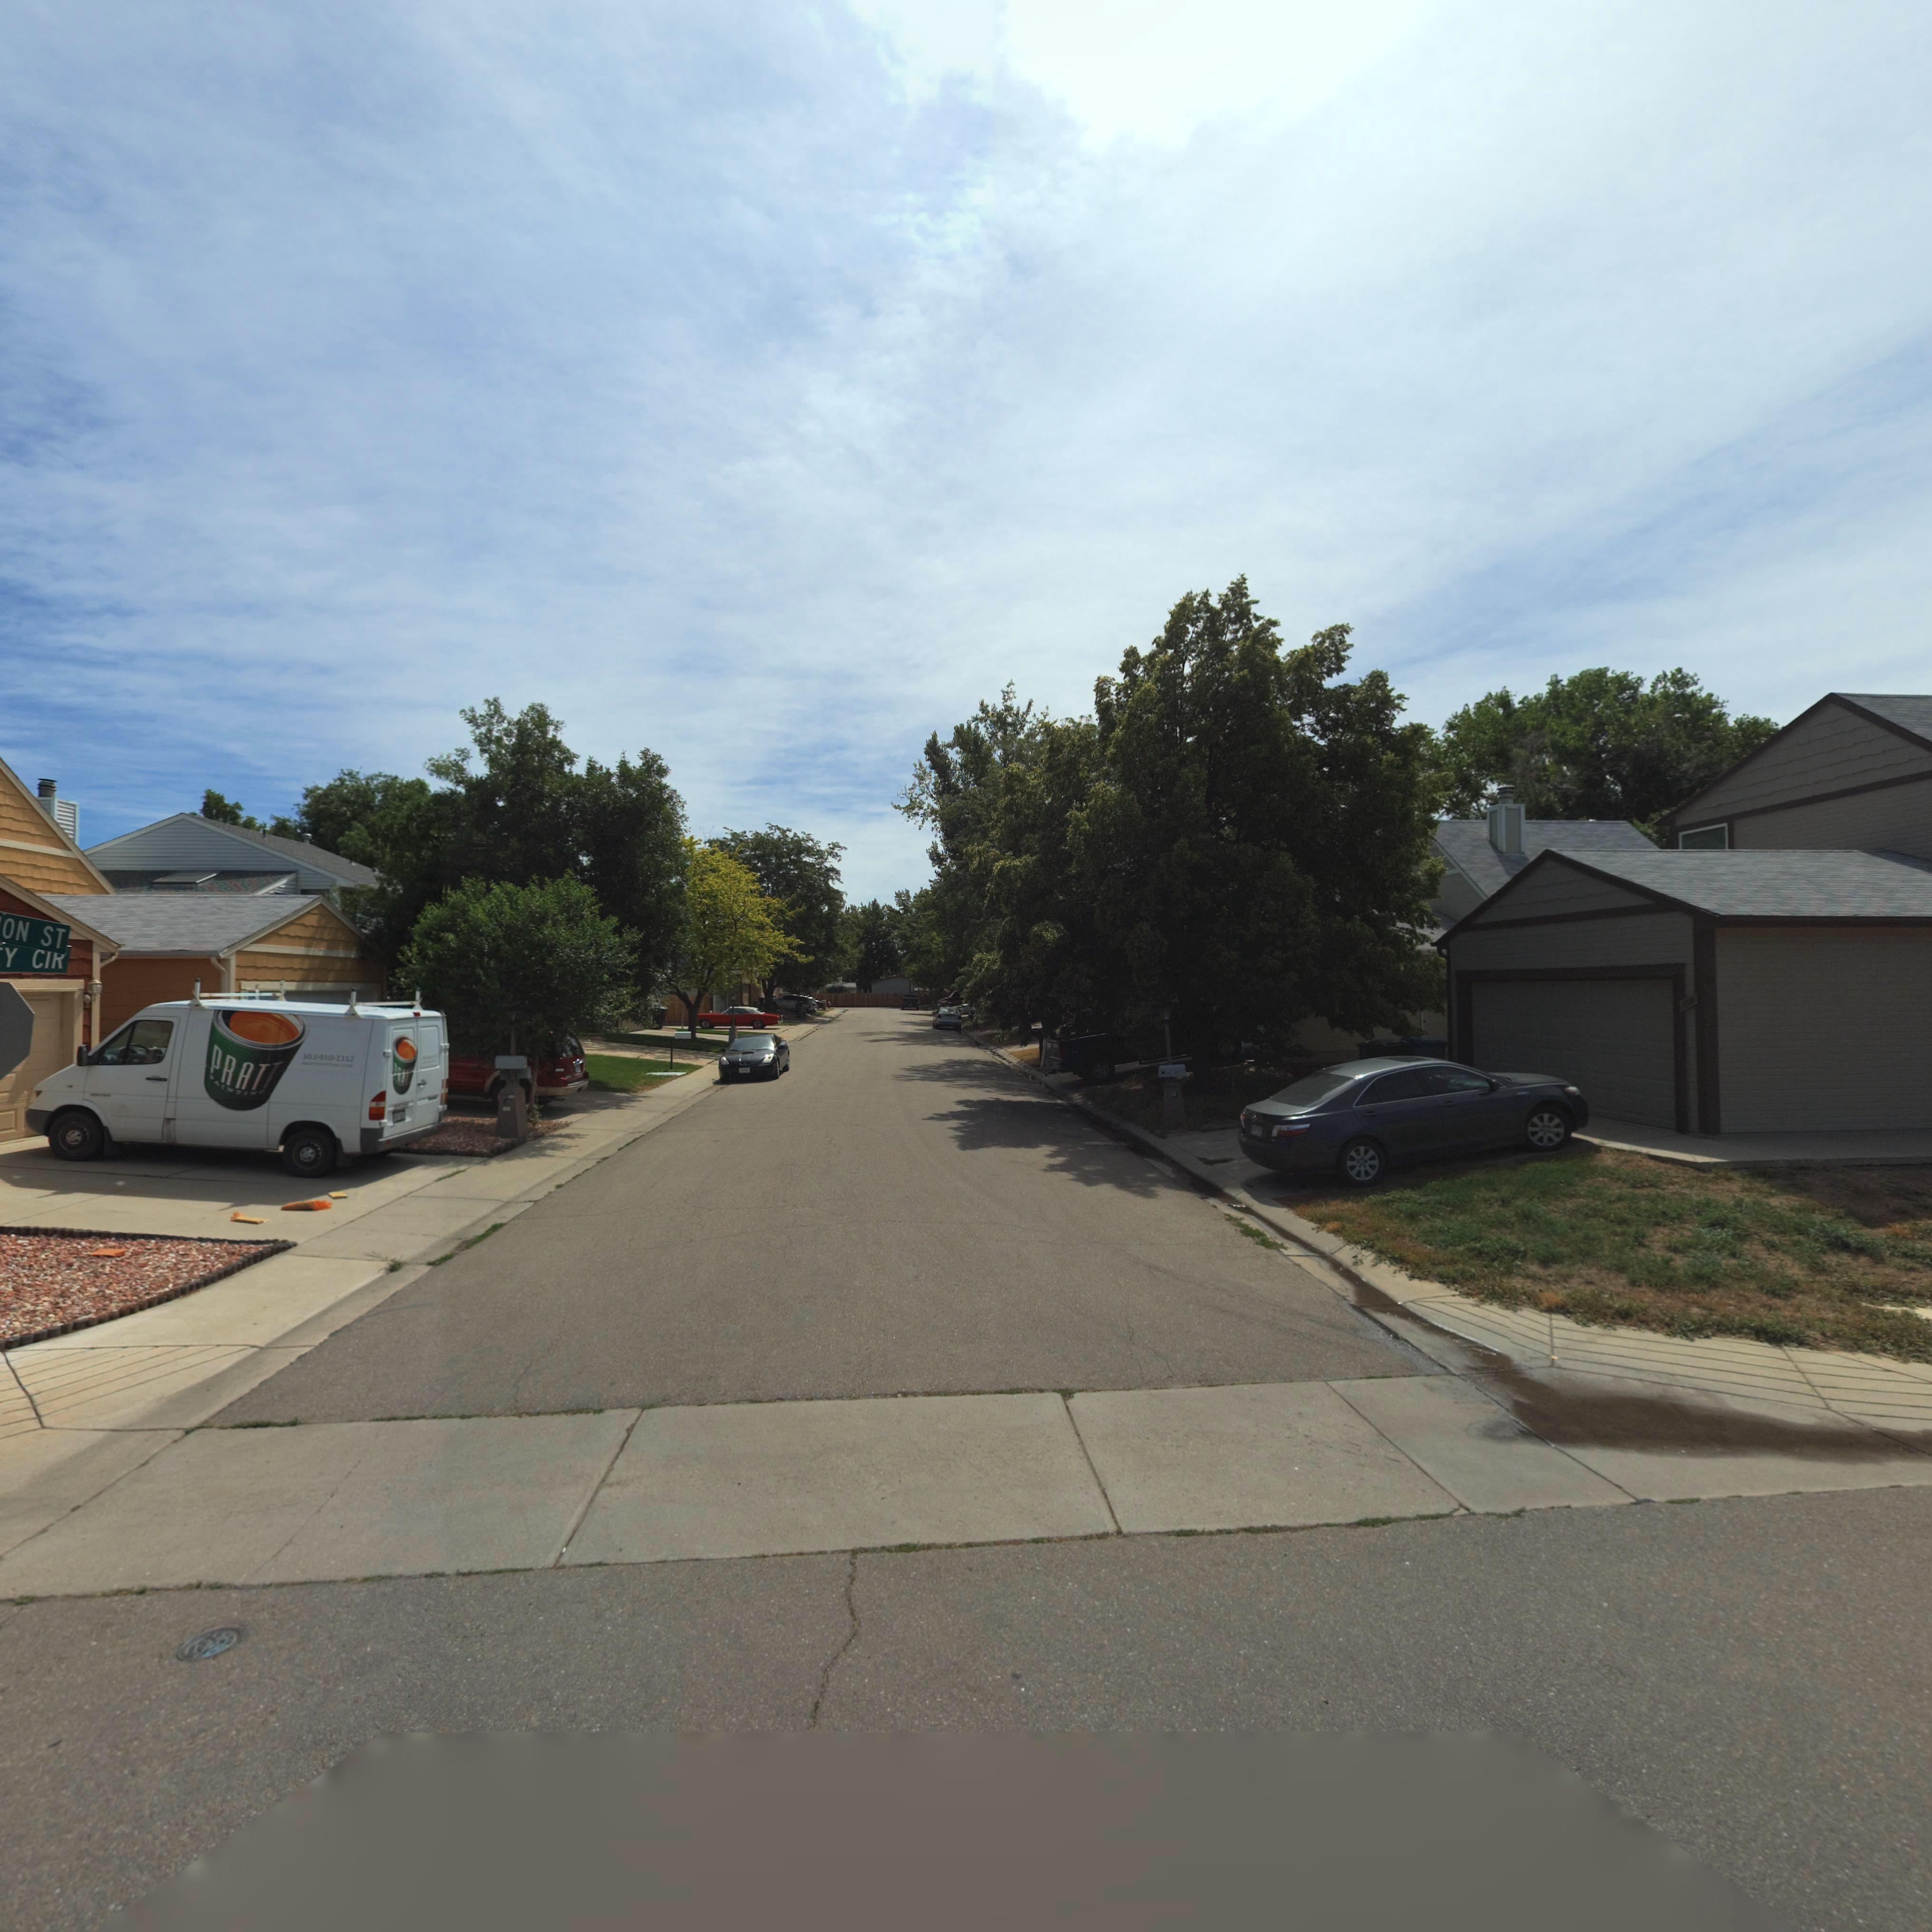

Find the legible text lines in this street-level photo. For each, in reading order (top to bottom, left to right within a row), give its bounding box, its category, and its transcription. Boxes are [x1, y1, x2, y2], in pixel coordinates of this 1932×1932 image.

[1, 917, 68, 949] StreetName: ON ST
[4, 947, 66, 969] StreetName: Y CI*